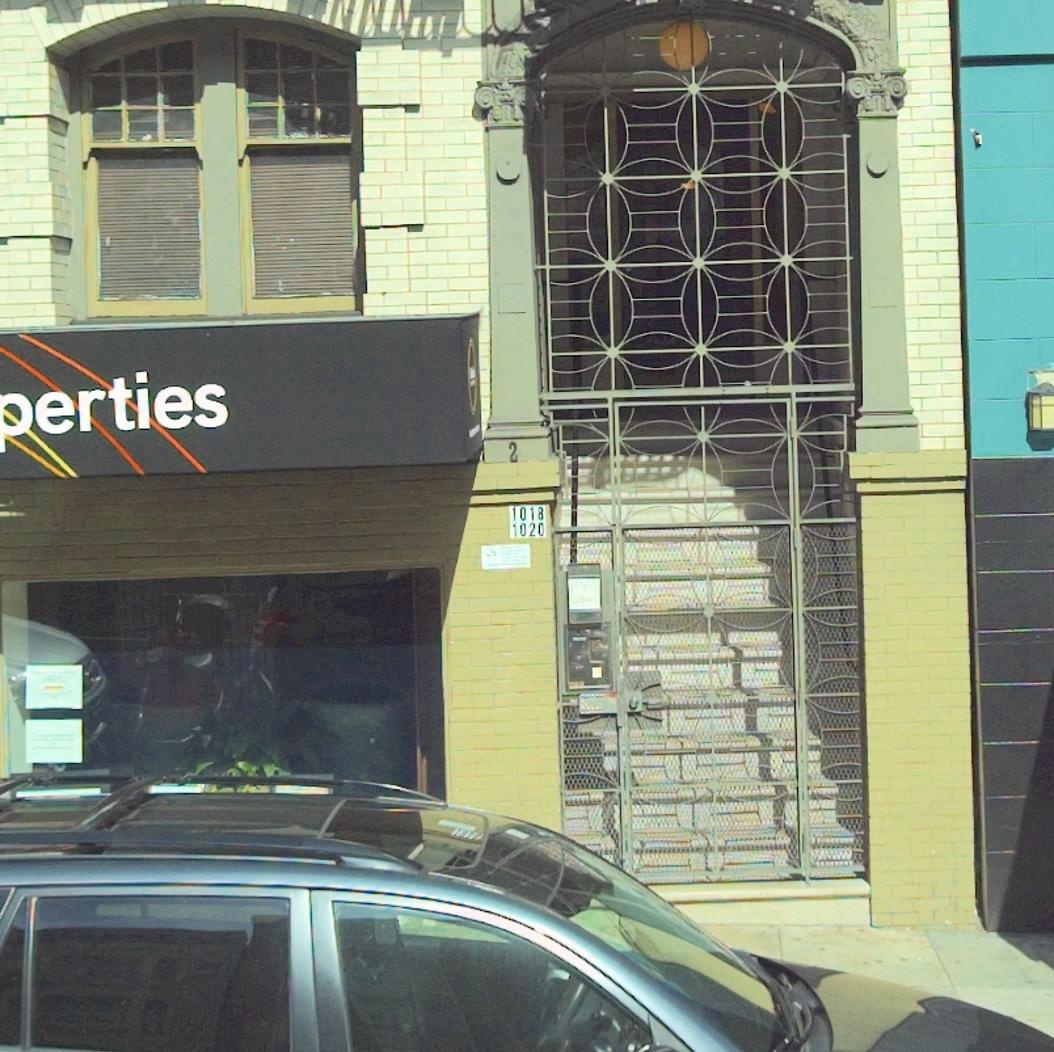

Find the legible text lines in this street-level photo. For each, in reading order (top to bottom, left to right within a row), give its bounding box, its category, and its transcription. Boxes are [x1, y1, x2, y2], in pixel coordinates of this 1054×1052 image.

[27, 364, 232, 441] BusinessName: erties
[503, 436, 521, 467] None: 2
[507, 519, 548, 539] StreetNumber: 1020
[510, 504, 549, 523] StreetNumber: 1018